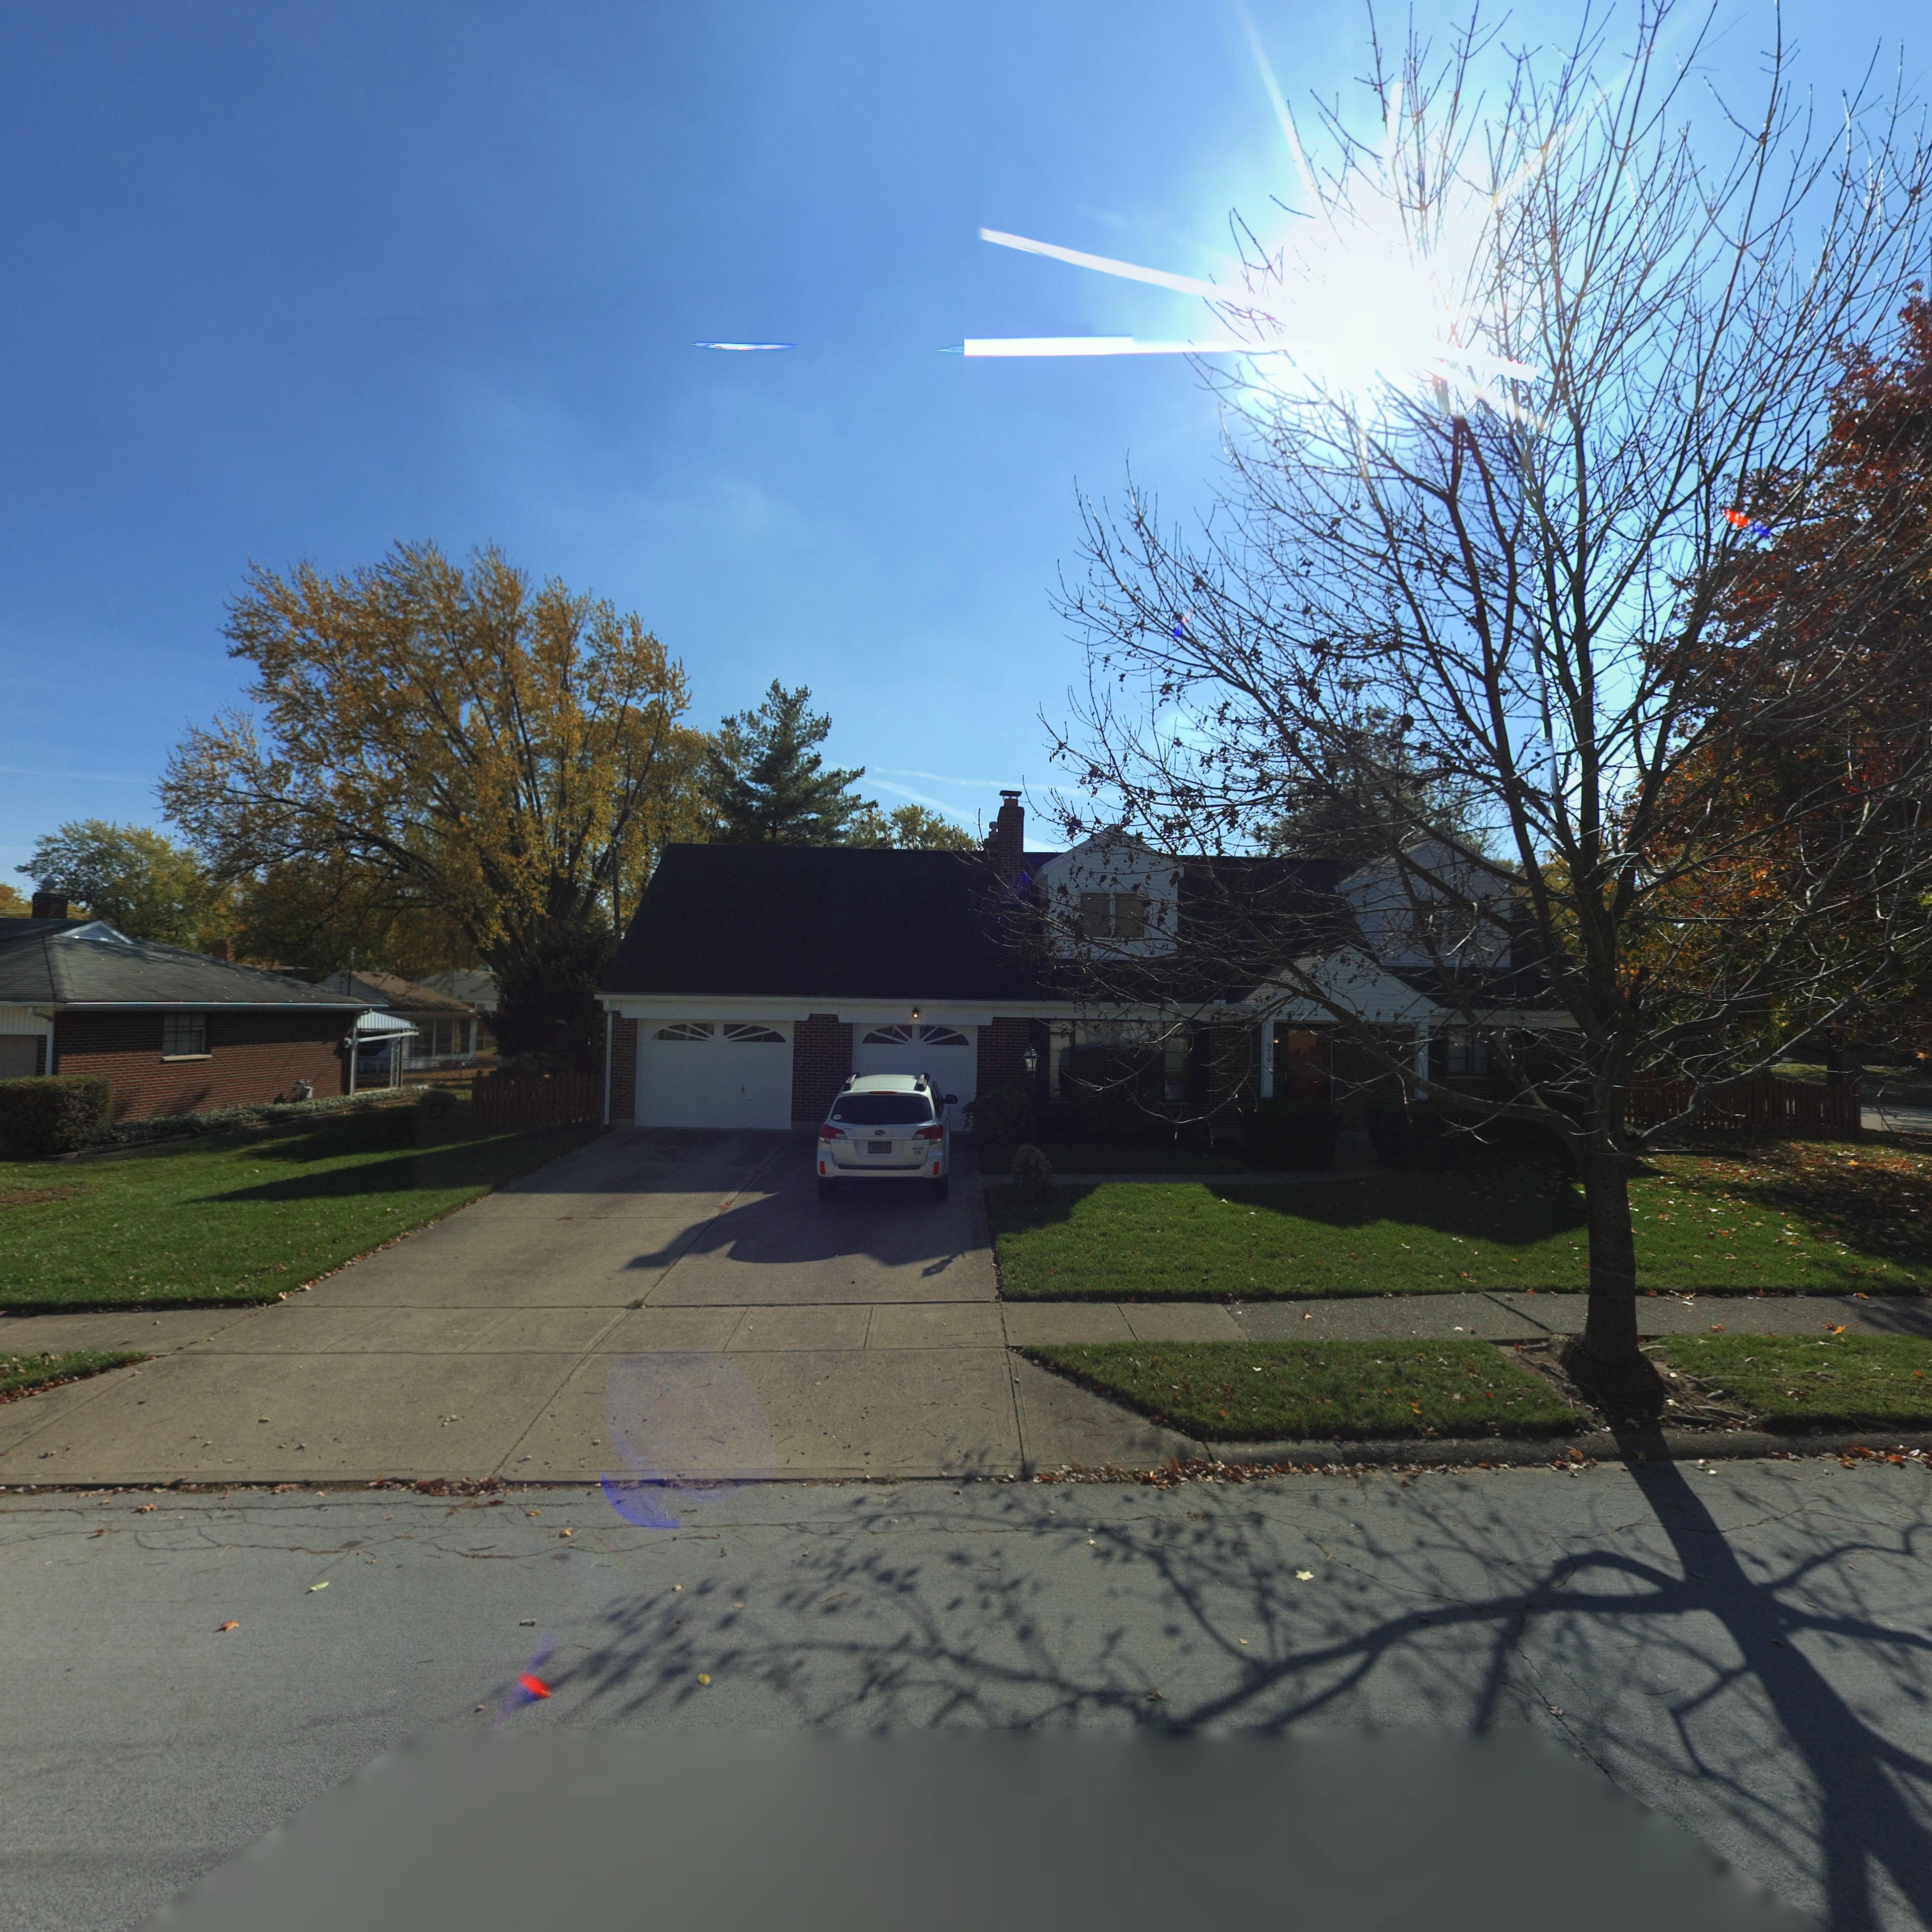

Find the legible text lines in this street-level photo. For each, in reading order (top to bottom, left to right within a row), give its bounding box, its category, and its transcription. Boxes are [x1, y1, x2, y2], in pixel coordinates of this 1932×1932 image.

[1266, 1042, 1273, 1063] StreetNumber: 970